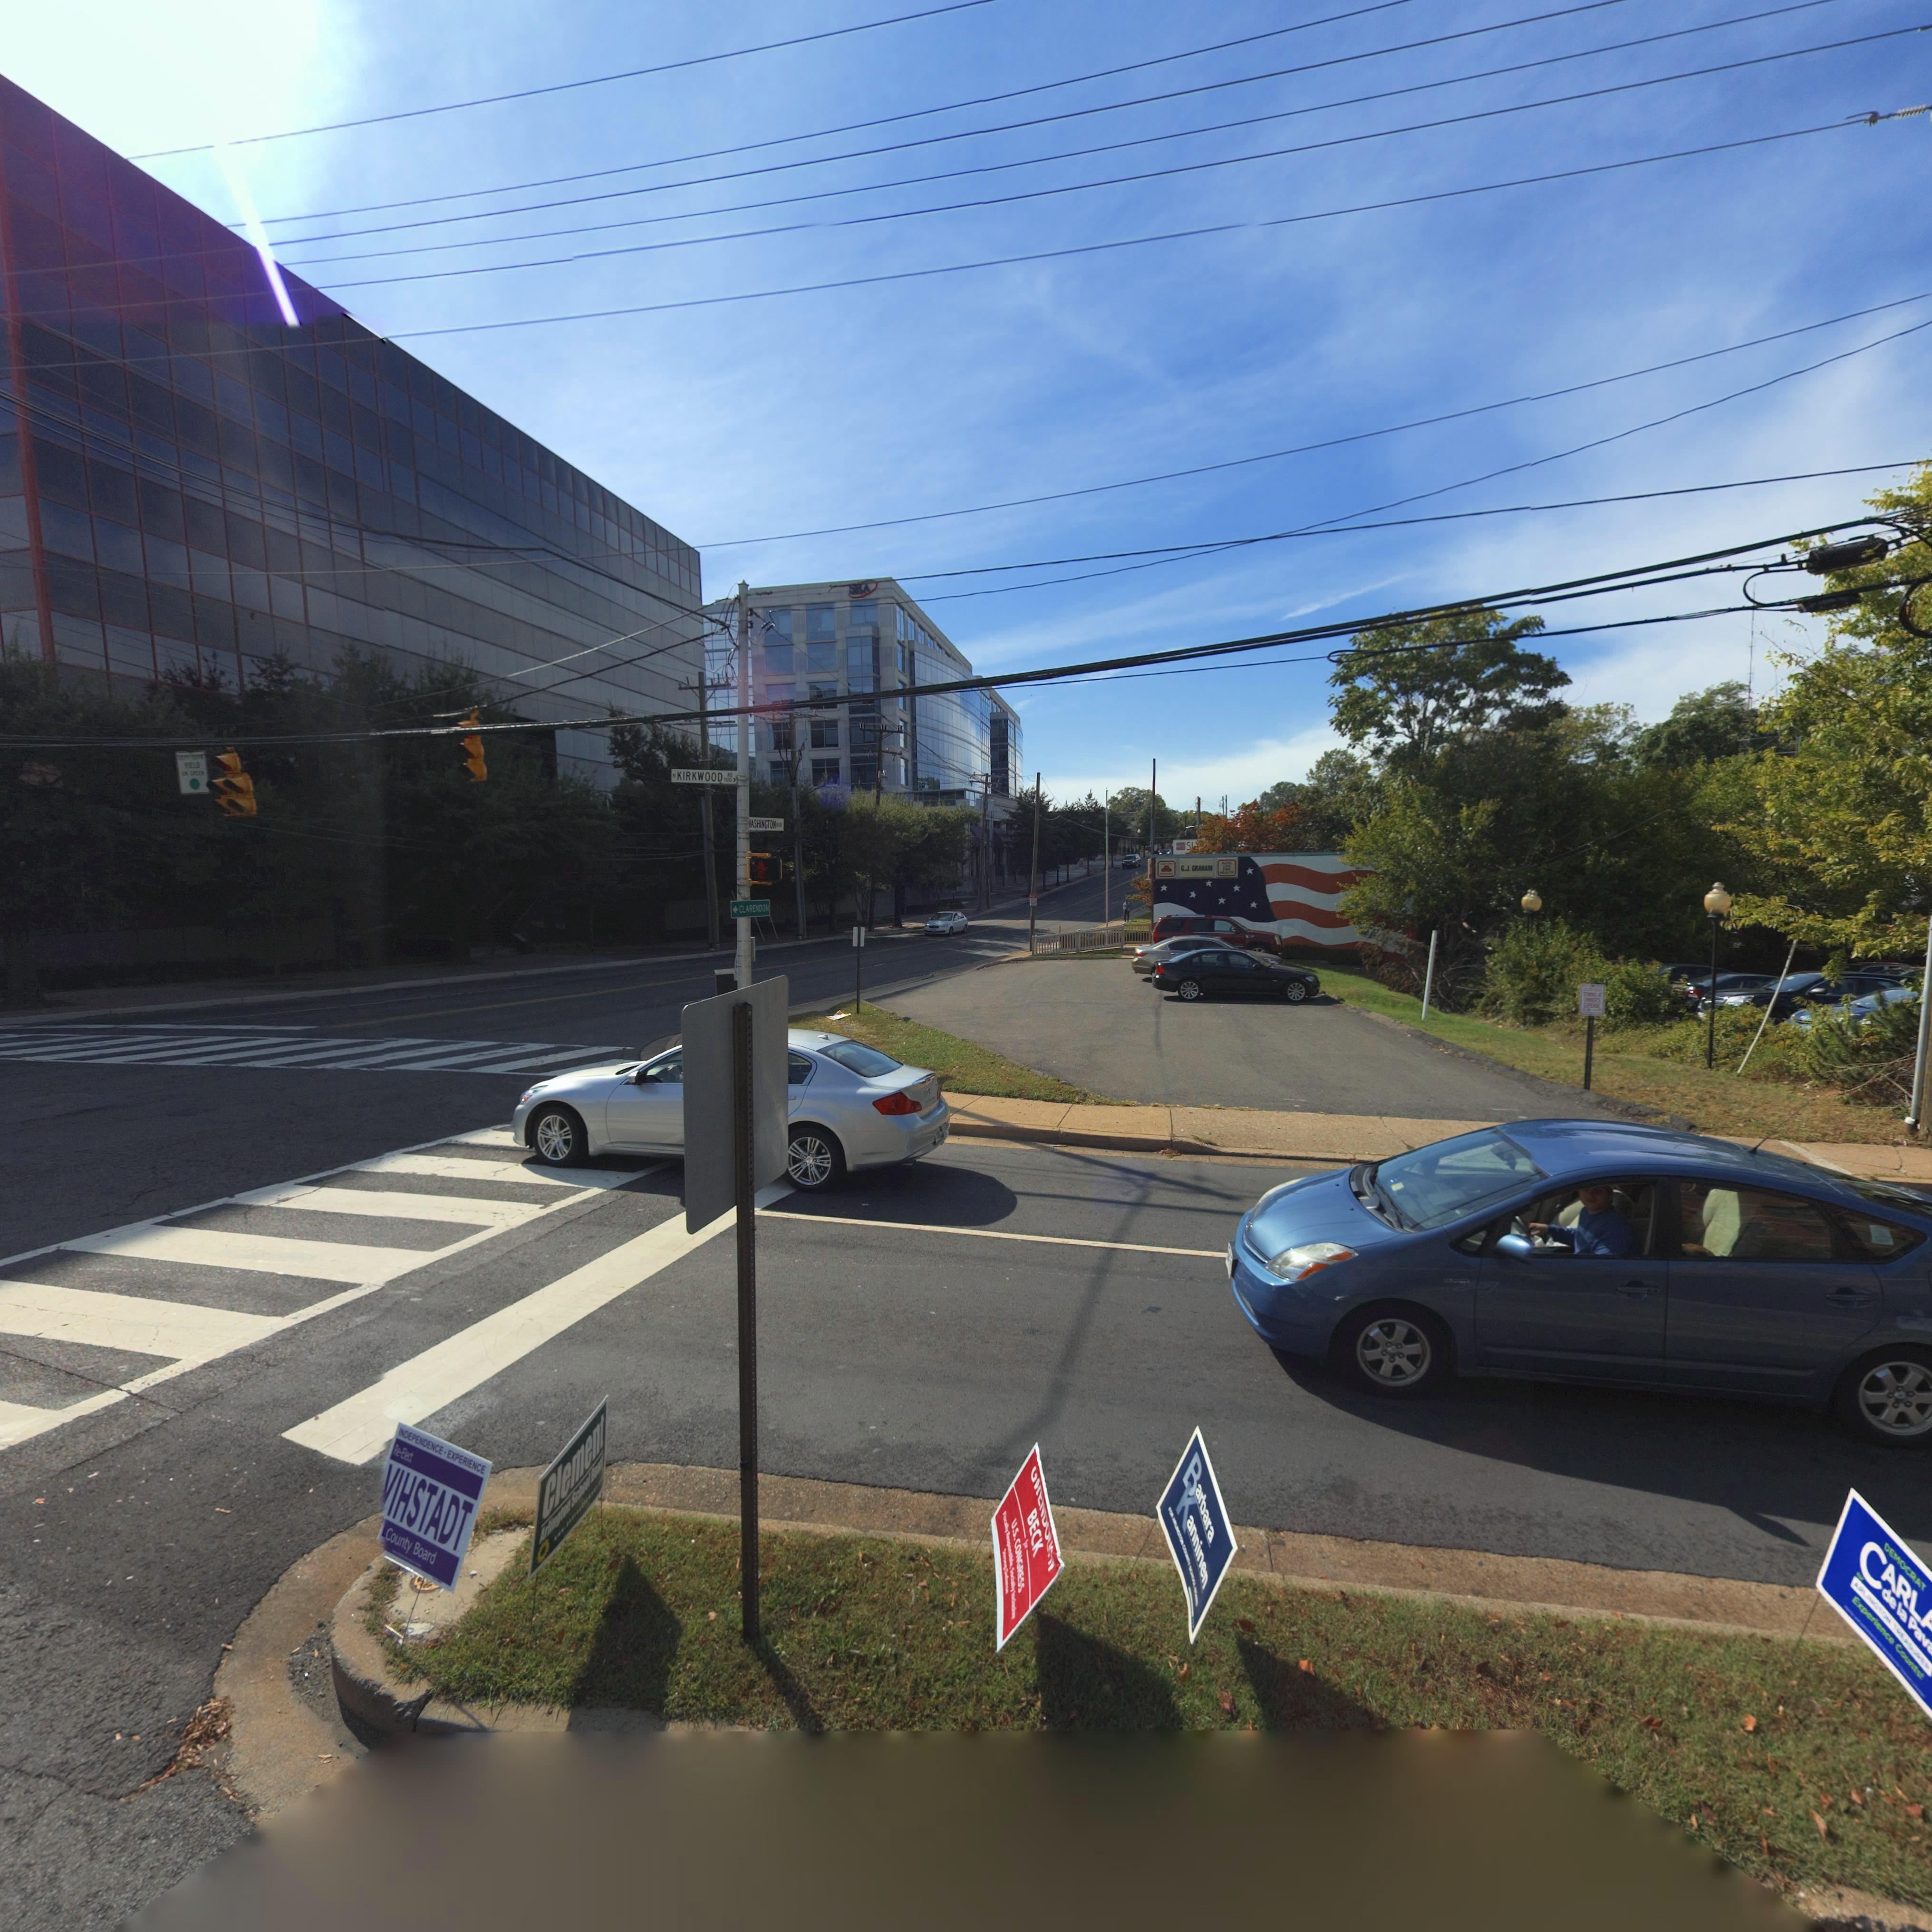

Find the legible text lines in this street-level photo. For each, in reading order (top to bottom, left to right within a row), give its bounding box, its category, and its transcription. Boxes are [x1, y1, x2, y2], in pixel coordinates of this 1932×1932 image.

[849, 583, 870, 595] BusinessName: SRA
[183, 762, 201, 769] None: YIELD
[198, 770, 205, 776] None: EN
[676, 771, 733, 782] StreetName: KIRKWOOD RD
[723, 777, 737, 783] StreetNumberRange: 1100->
[750, 819, 776, 830] StreetName: ASHINGTON
[1186, 841, 1191, 850] None: S
[1180, 865, 1213, 872] None: G.J. GRAHAM
[739, 904, 769, 914] None: CLARENDON
[1583, 997, 1601, 1003] None: OWNERS
[1583, 1002, 1601, 1009] None: EXPENSE
[1583, 992, 1603, 997] None: TOWING AT
[391, 1443, 415, 1465] None: Re-Elect
[397, 1427, 487, 1476] None: INDEPENDENCE * EXPERIENCE
[541, 1411, 604, 1520] None: Clement
[381, 1461, 475, 1552] None: VIHSTADT
[539, 1451, 604, 1546] None: Arlington School B****
[1182, 1450, 1215, 1546] None: Barbara
[385, 1527, 439, 1566] None: County Board
[1011, 1517, 1025, 1595] None: U.S. CONGRESS
[1026, 1506, 1044, 1559] None: BECK
[1175, 1480, 1209, 1593] None: Kanninen
[1859, 1541, 1922, 1624] None: CARL
[1883, 1541, 1927, 1593] None: DEMOCRAT
[1881, 1588, 1931, 1649] None: de la Pav
[1850, 1594, 1926, 1682] None: Experience Counts!